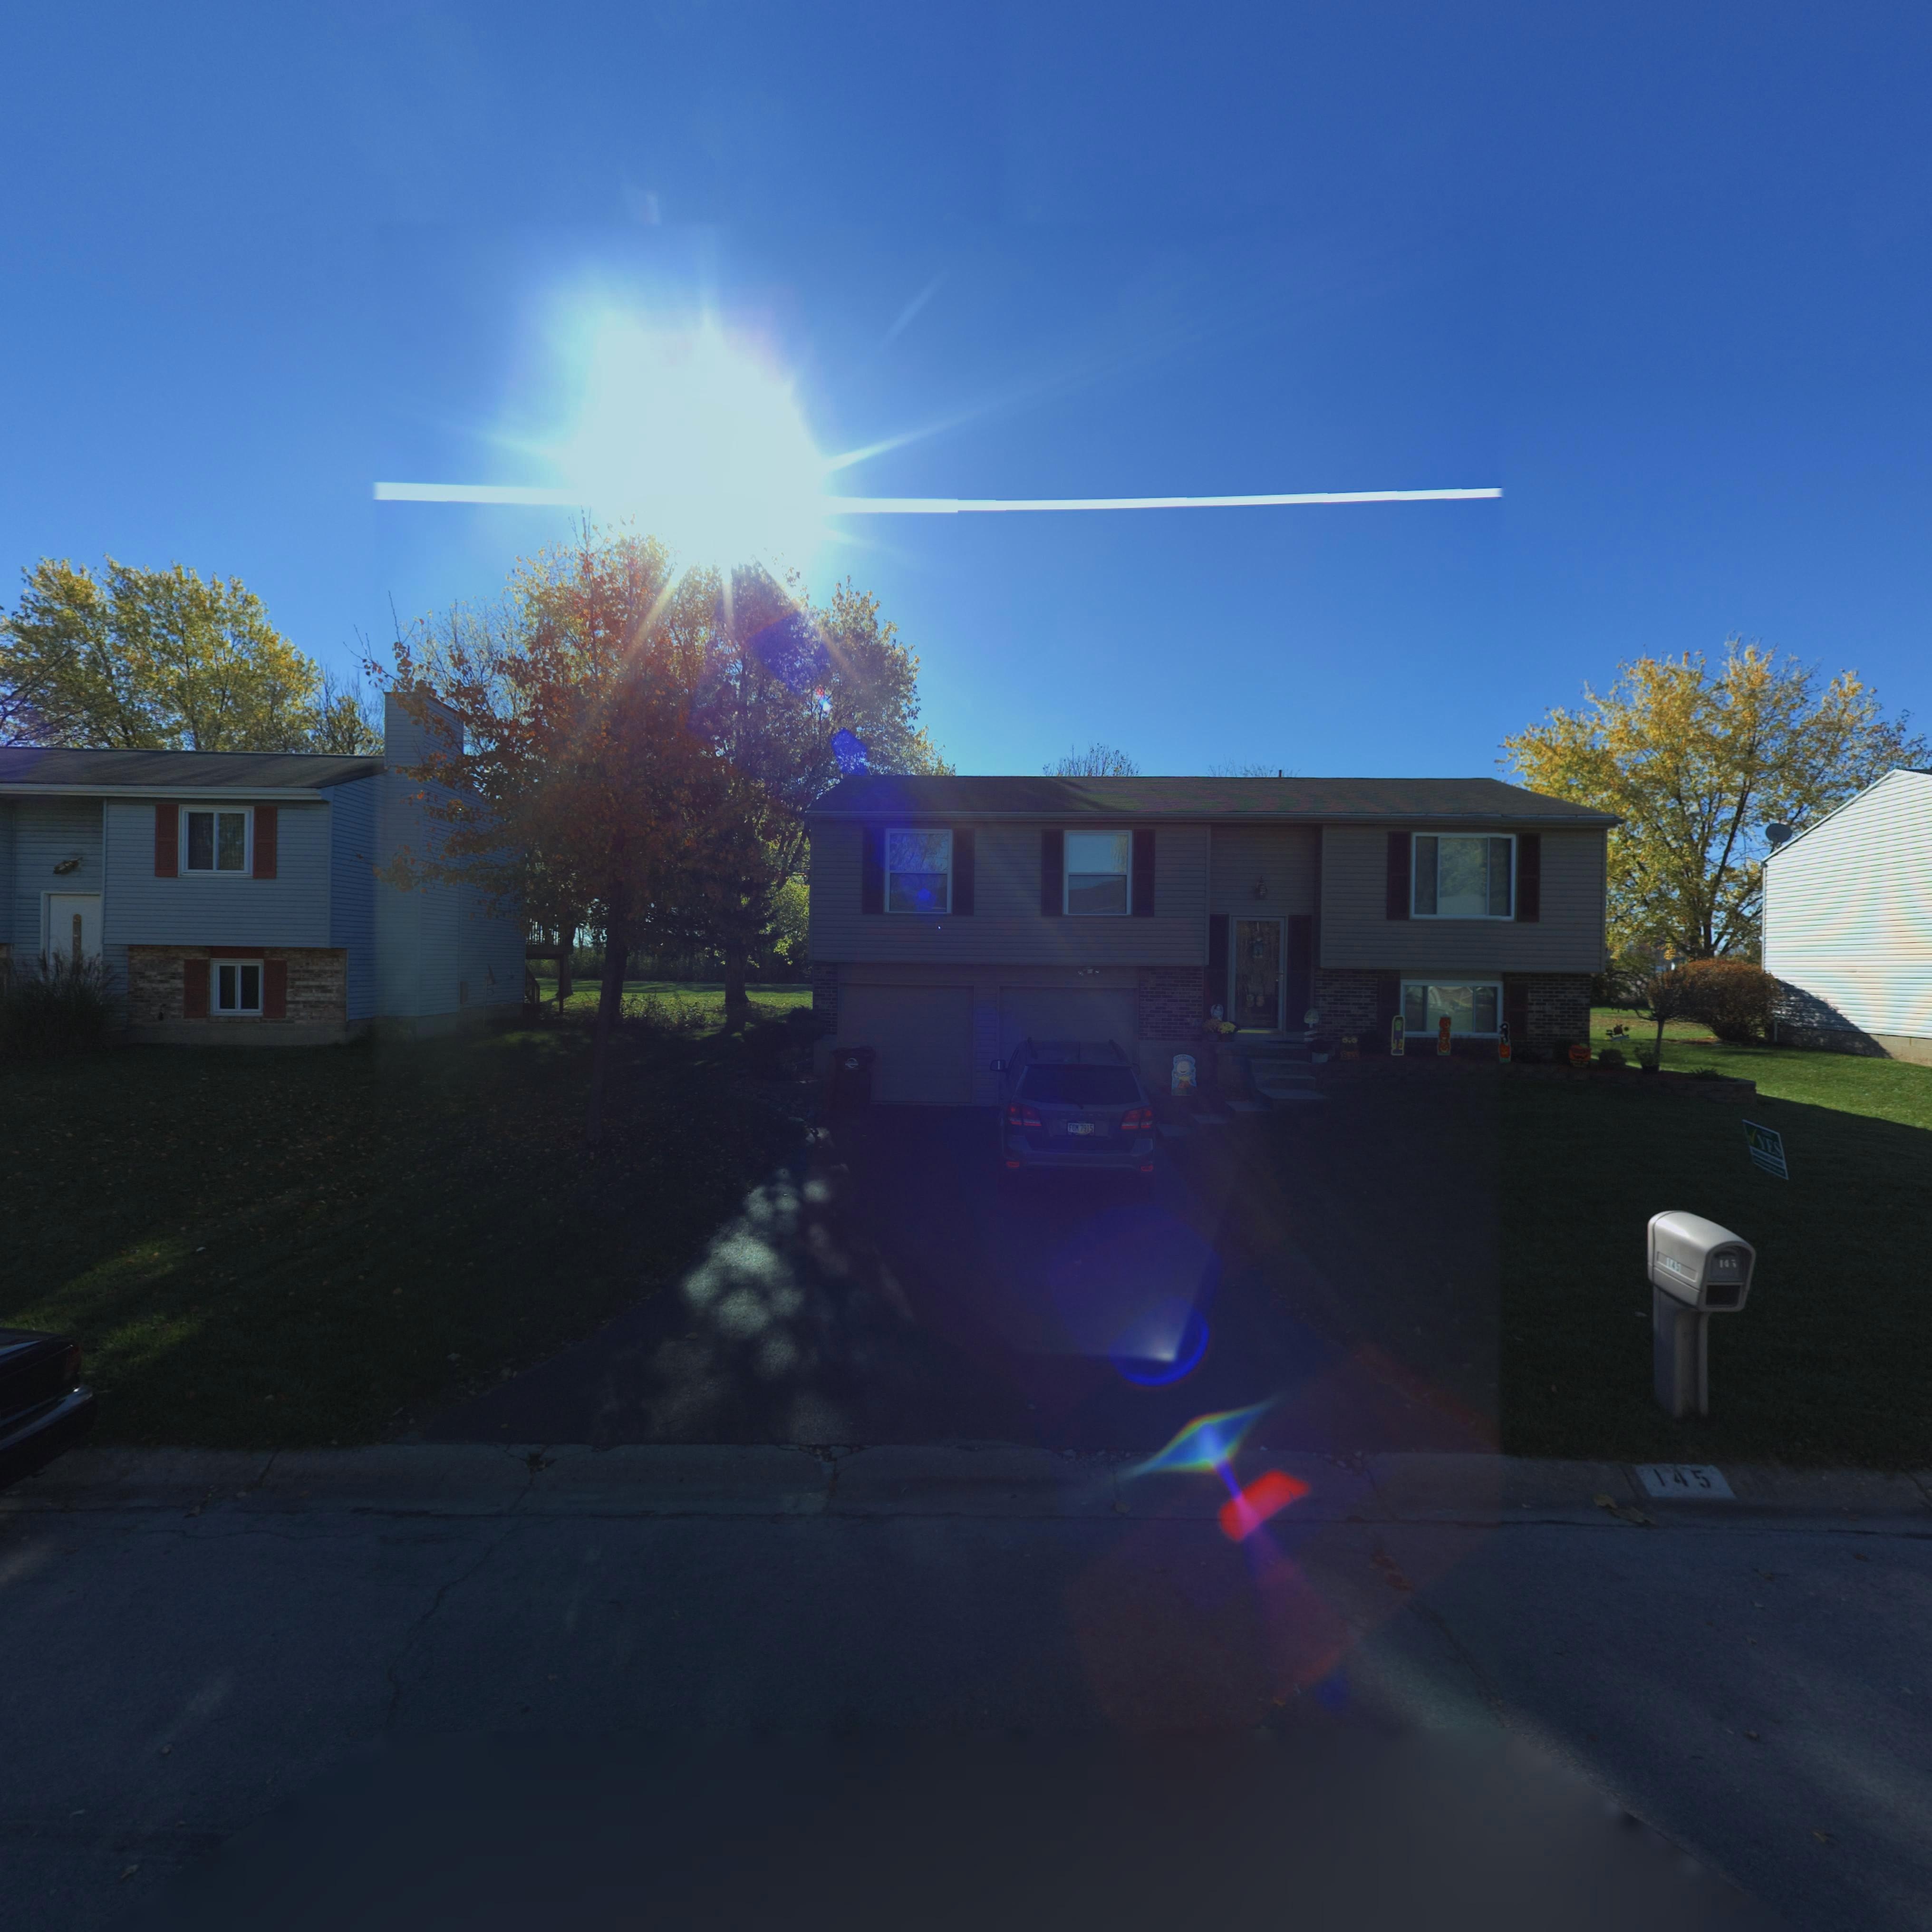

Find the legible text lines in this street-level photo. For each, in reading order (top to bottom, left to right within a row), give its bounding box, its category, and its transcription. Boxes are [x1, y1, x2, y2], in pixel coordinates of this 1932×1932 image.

[1667, 1257, 1681, 1274] StreetNumber: 145
[1719, 1259, 1738, 1268] StreetNumber: 14*
[1651, 1468, 1714, 1488] StreetNumber: 145